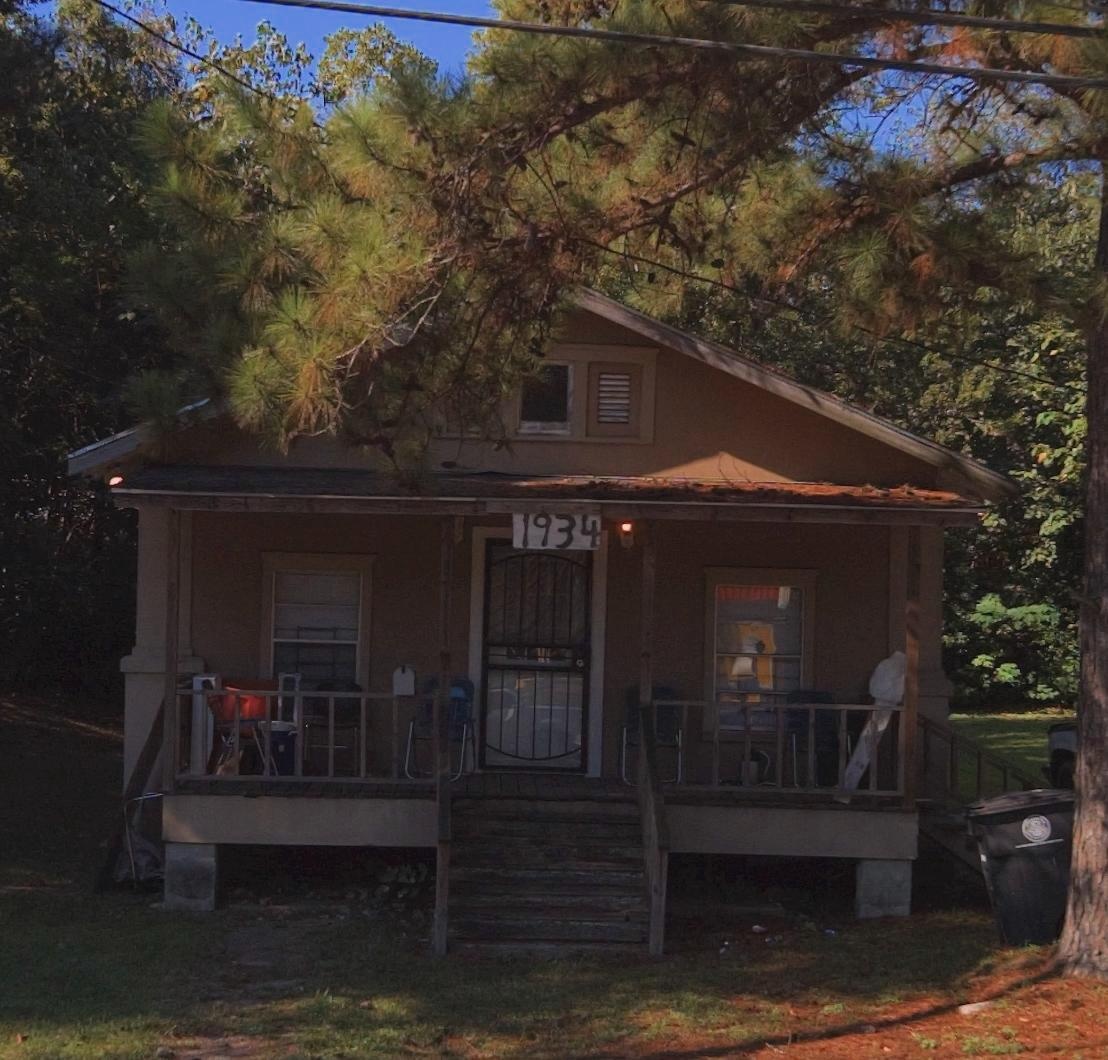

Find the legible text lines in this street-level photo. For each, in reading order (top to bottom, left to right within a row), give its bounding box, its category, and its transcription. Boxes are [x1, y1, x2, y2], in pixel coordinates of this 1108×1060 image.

[518, 507, 606, 554] StreetNumber: 1934